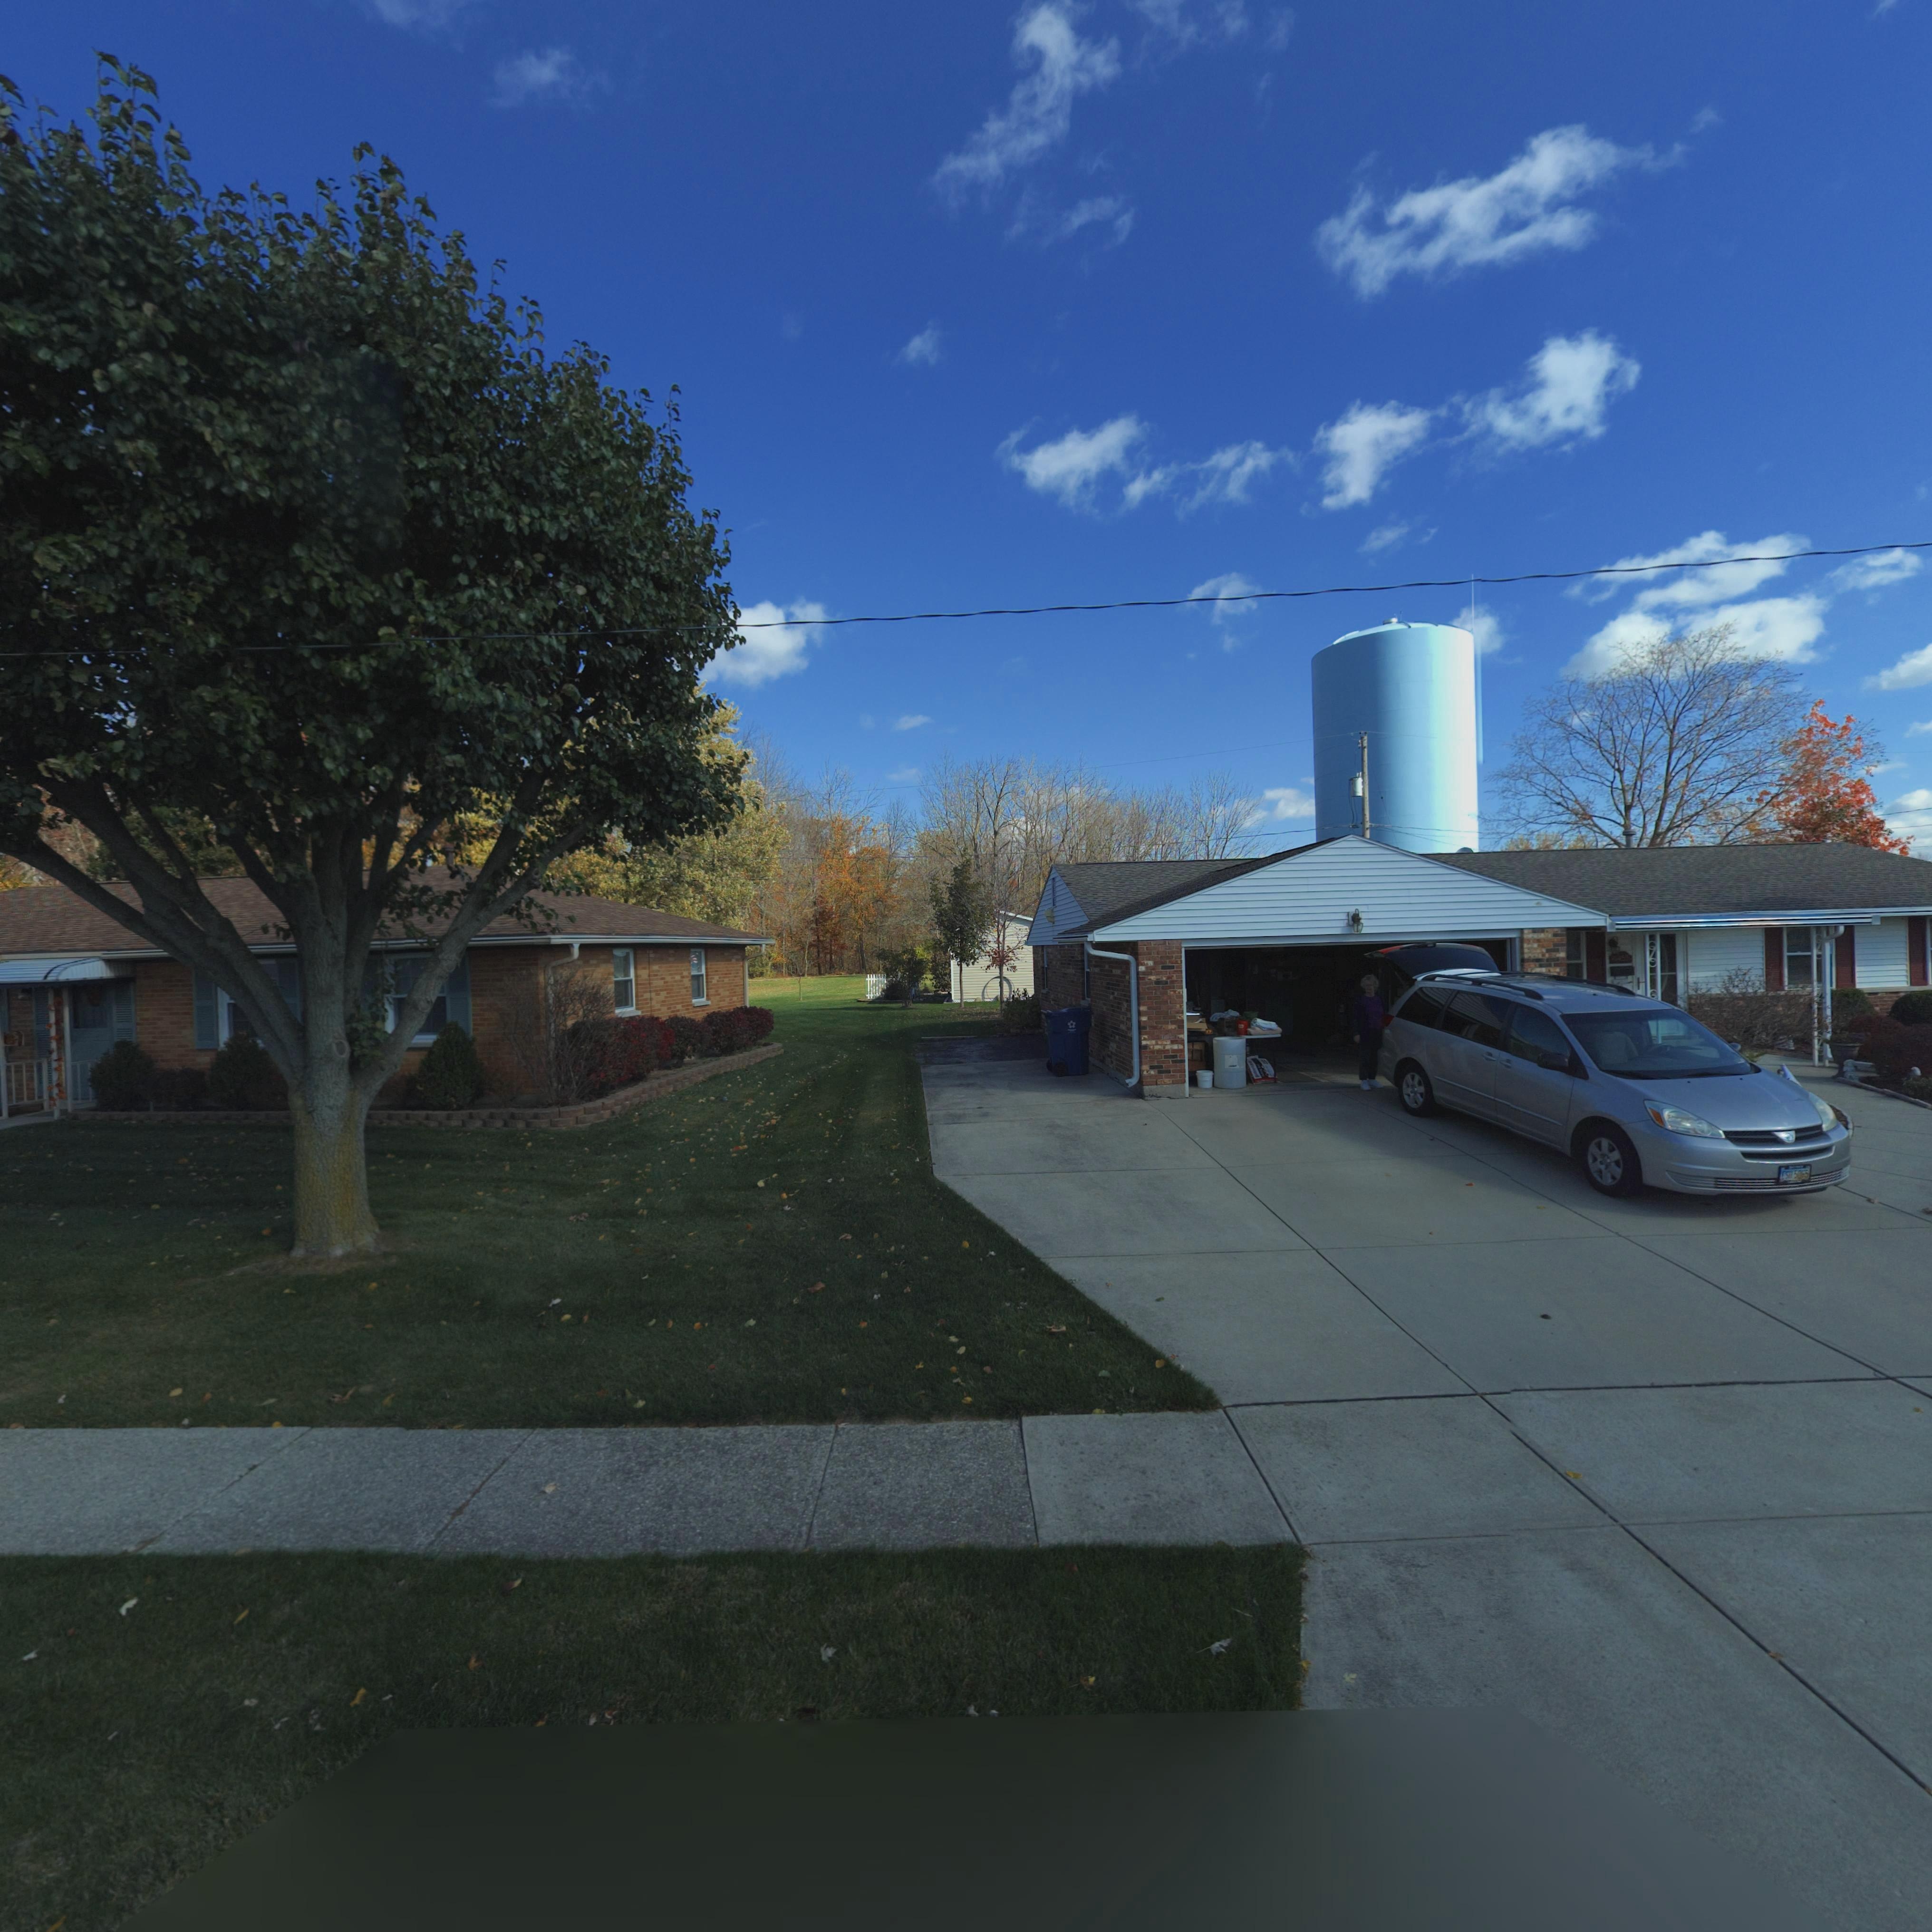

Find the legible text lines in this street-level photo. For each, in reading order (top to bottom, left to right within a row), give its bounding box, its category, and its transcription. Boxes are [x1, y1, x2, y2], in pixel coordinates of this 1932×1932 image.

[1611, 954, 1631, 962] StreetNumber: **55